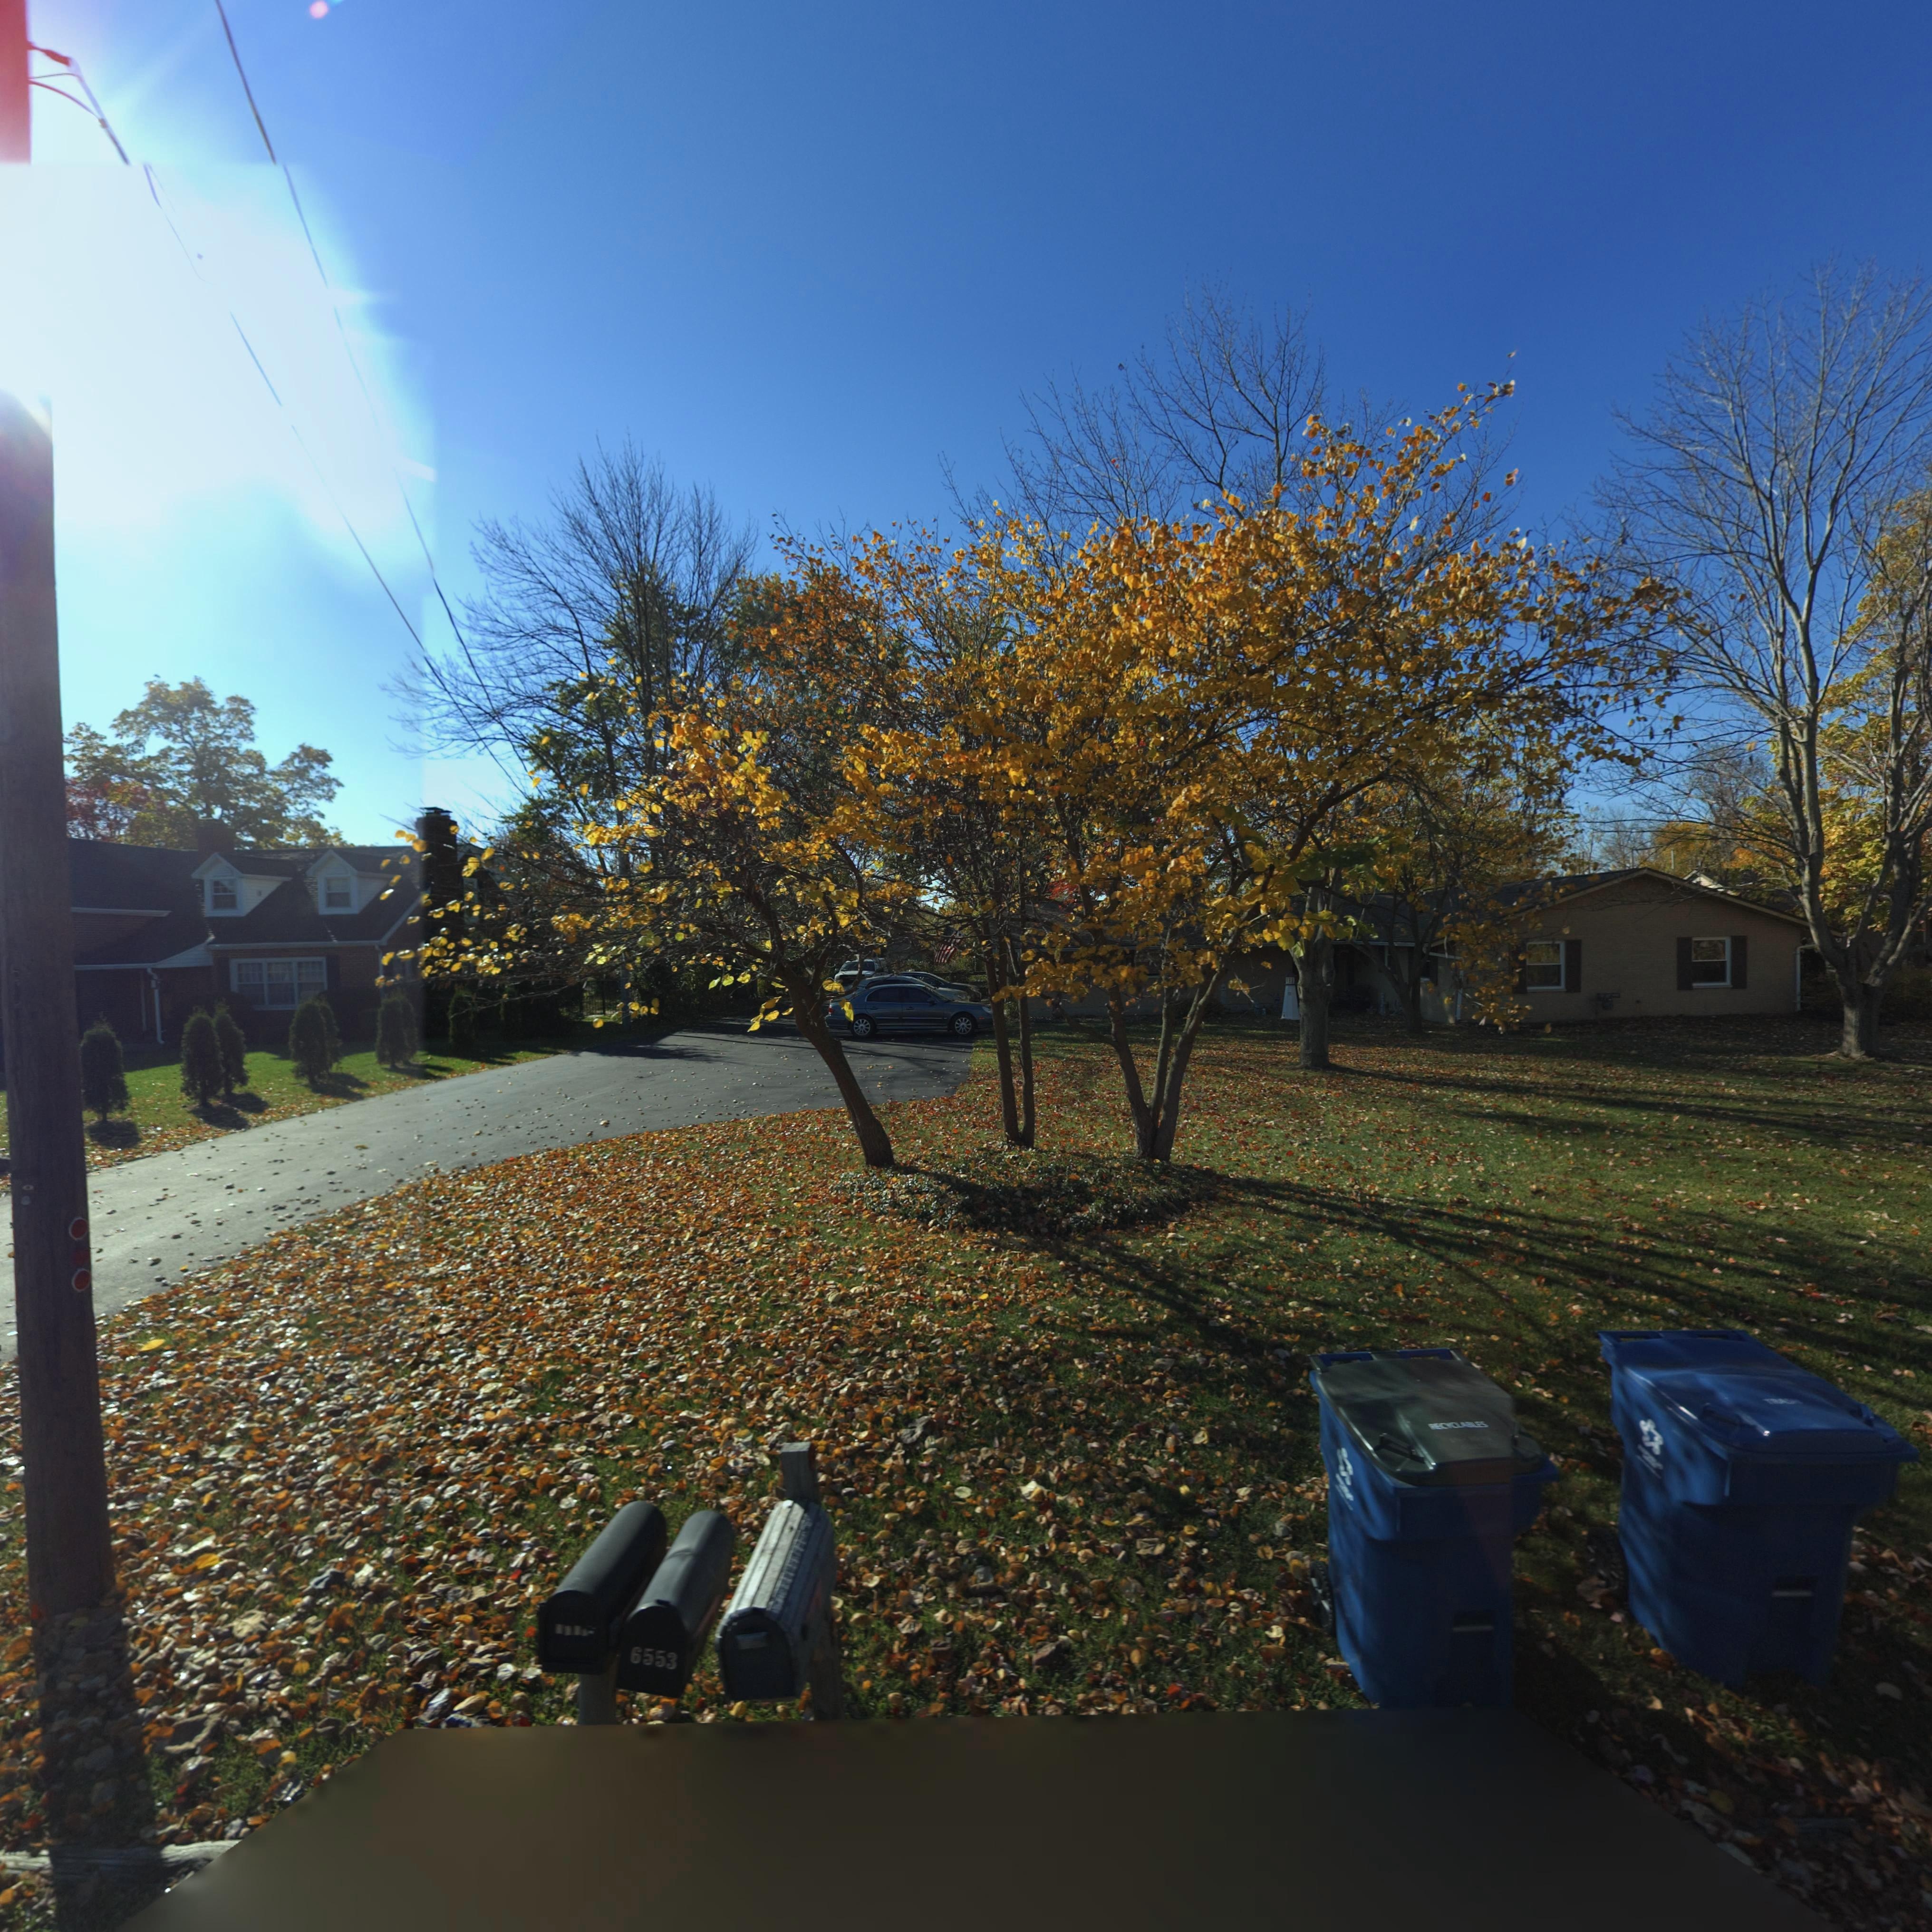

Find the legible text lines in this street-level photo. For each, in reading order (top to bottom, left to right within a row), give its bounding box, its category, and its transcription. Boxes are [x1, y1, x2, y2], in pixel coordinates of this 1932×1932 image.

[628, 1644, 679, 1671] StreetNumber: 6553